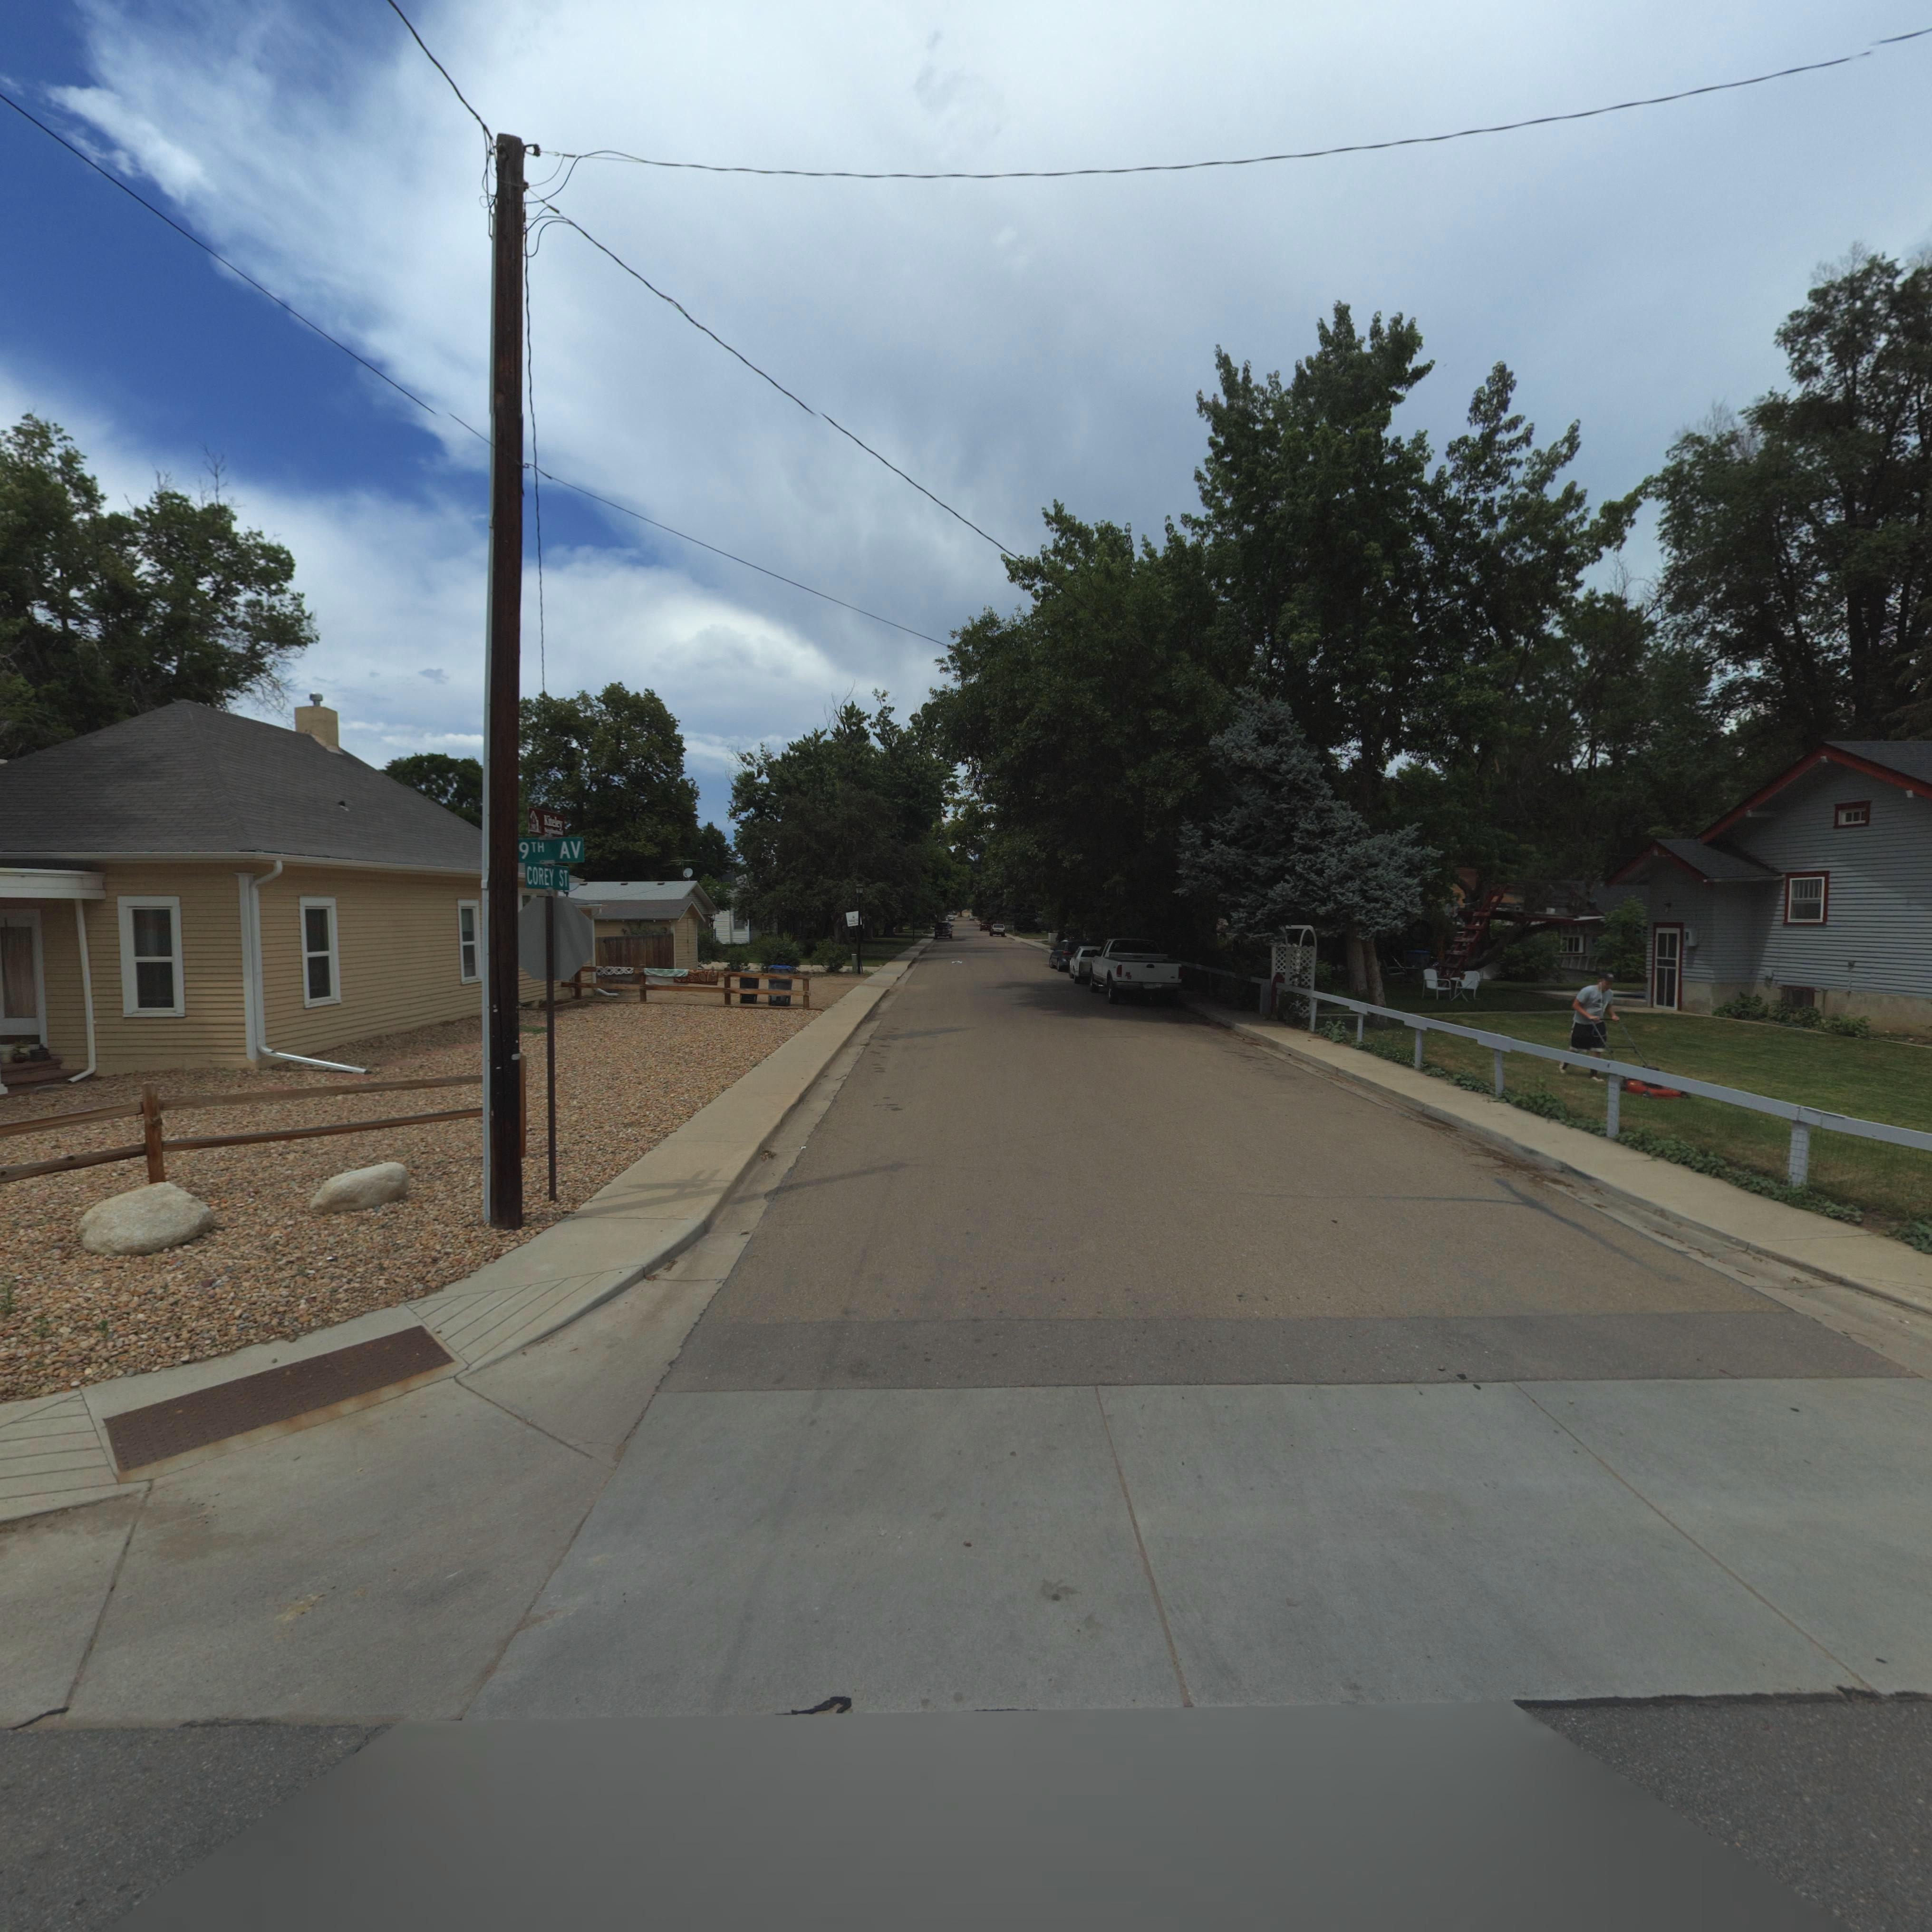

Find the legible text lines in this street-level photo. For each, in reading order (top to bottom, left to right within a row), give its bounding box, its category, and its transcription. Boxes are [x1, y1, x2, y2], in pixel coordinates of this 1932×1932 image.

[519, 840, 581, 858] StreetName: 9TH AV
[527, 866, 569, 887] StreetName: COREY ST